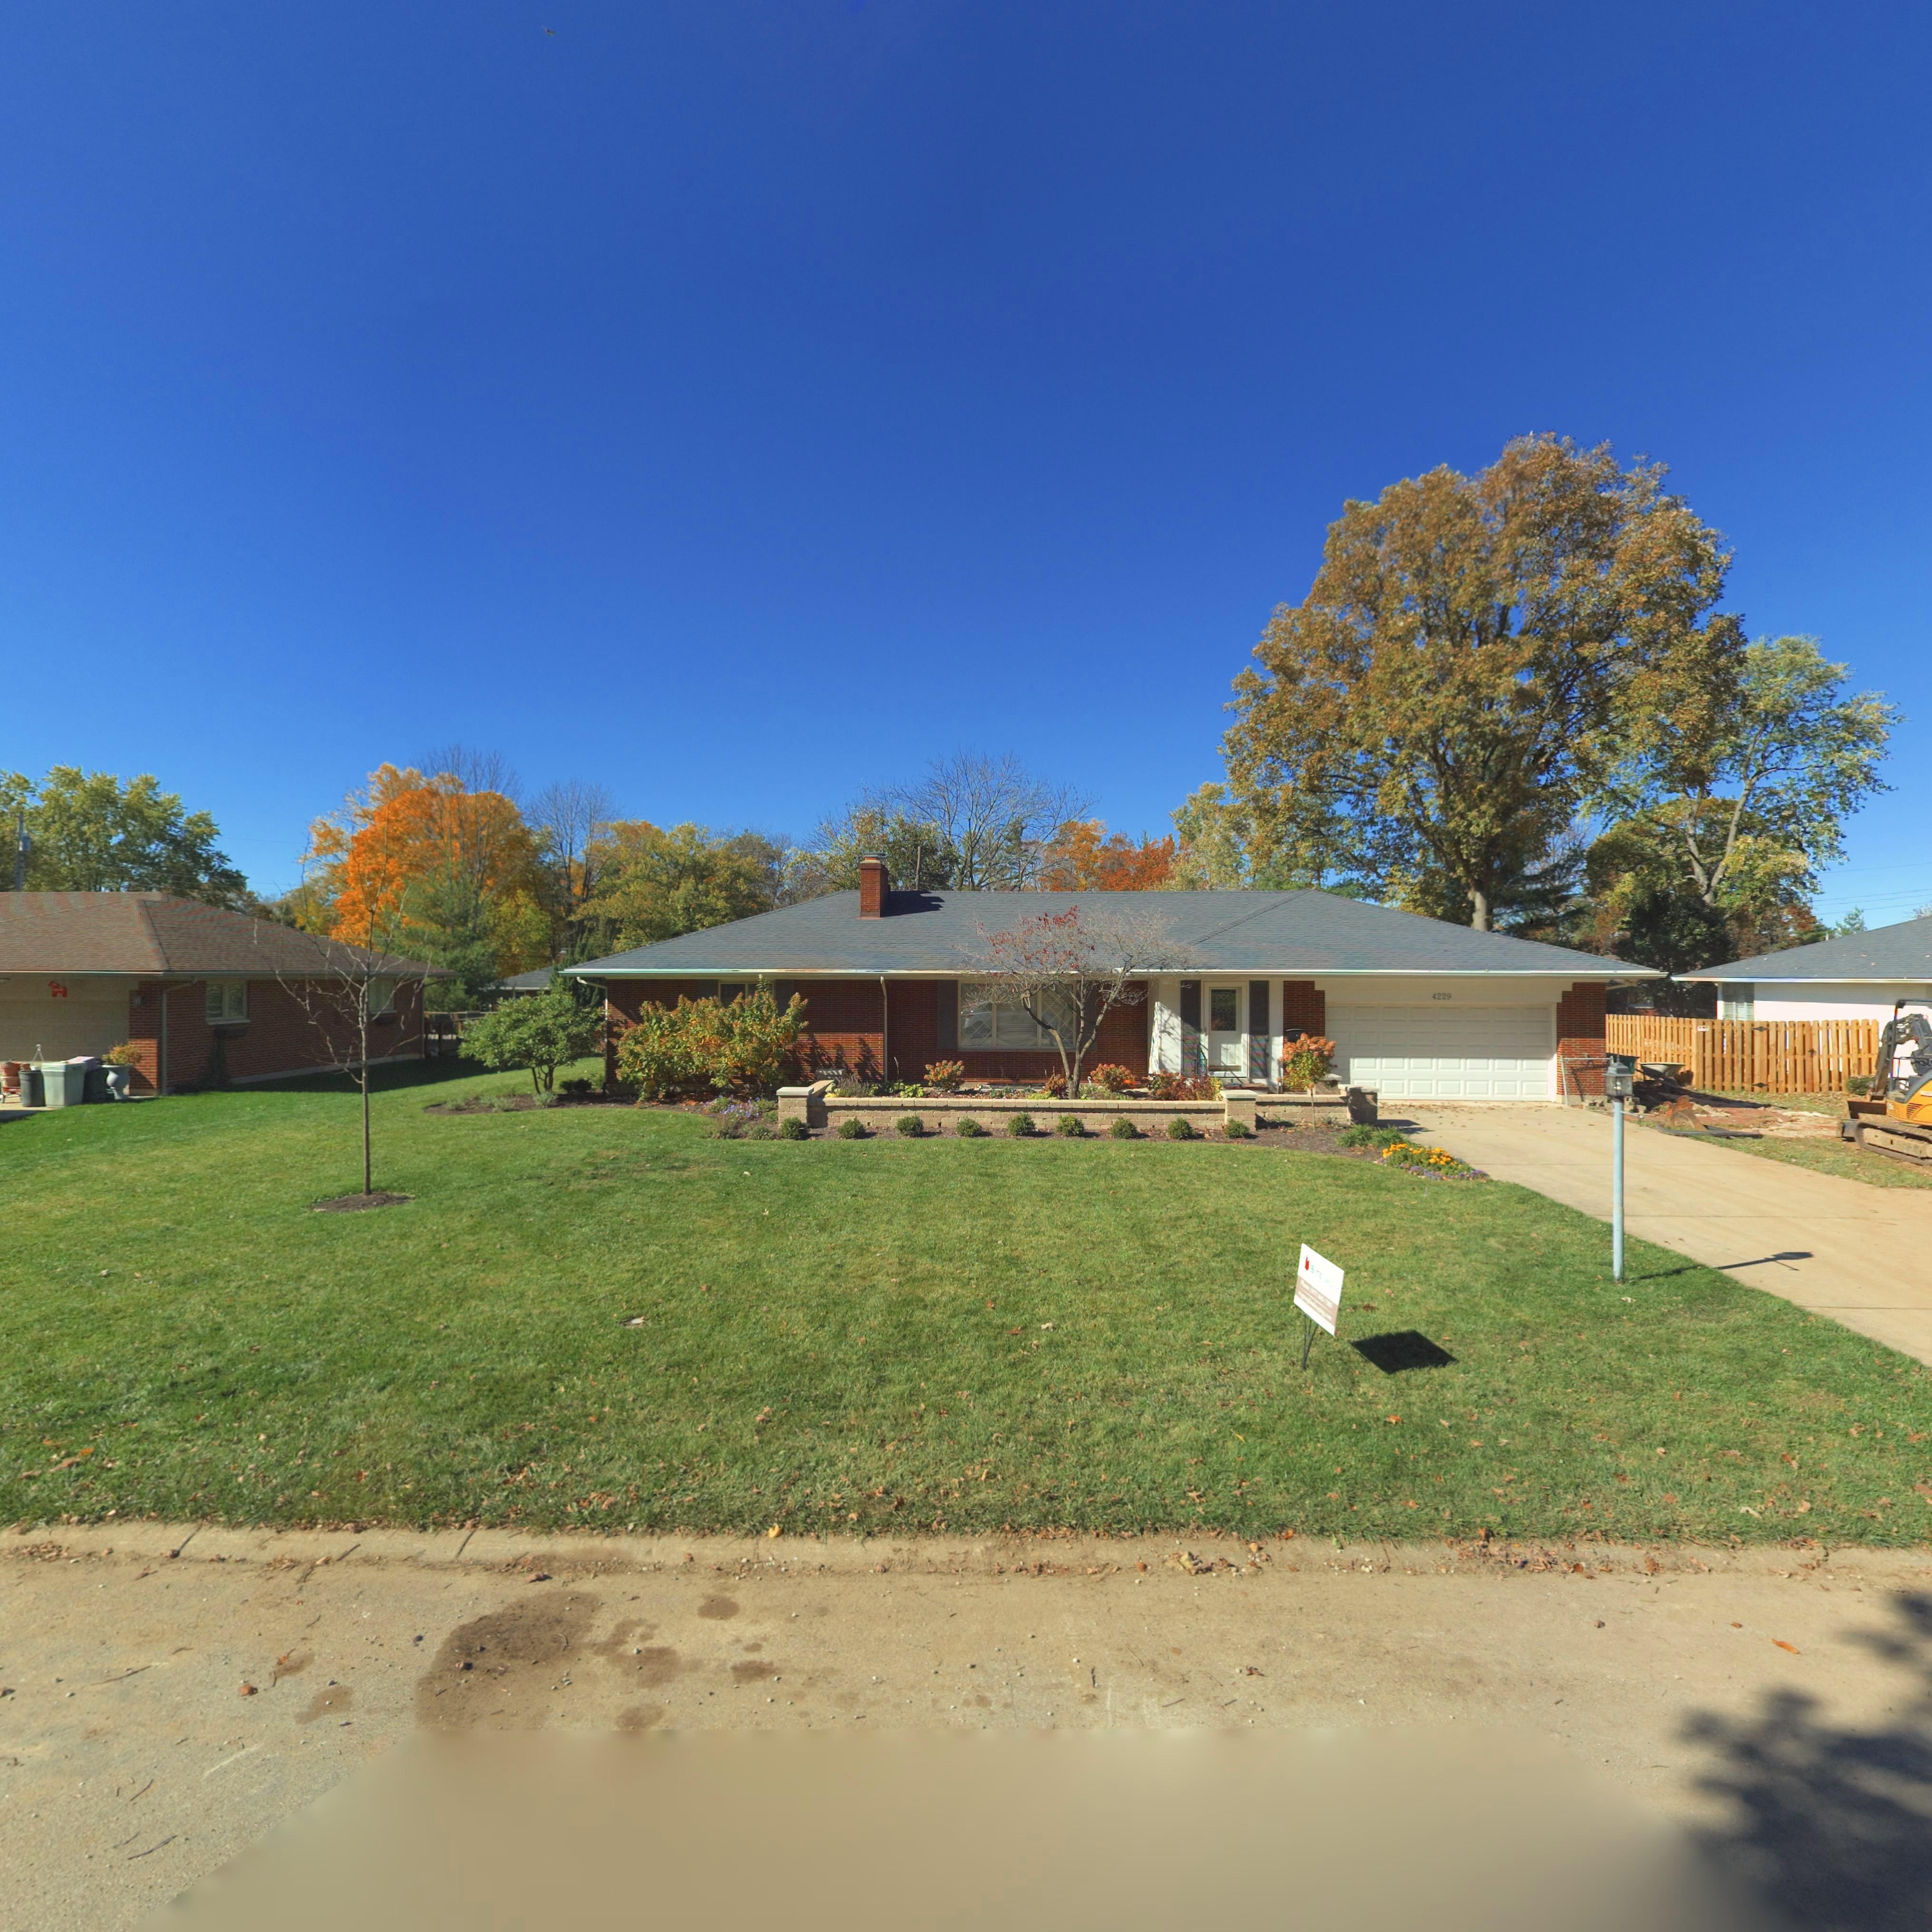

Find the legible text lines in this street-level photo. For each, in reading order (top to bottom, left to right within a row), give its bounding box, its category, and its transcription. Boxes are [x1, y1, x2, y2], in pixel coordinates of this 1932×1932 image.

[1431, 992, 1452, 1000] StreetNumber: 4229